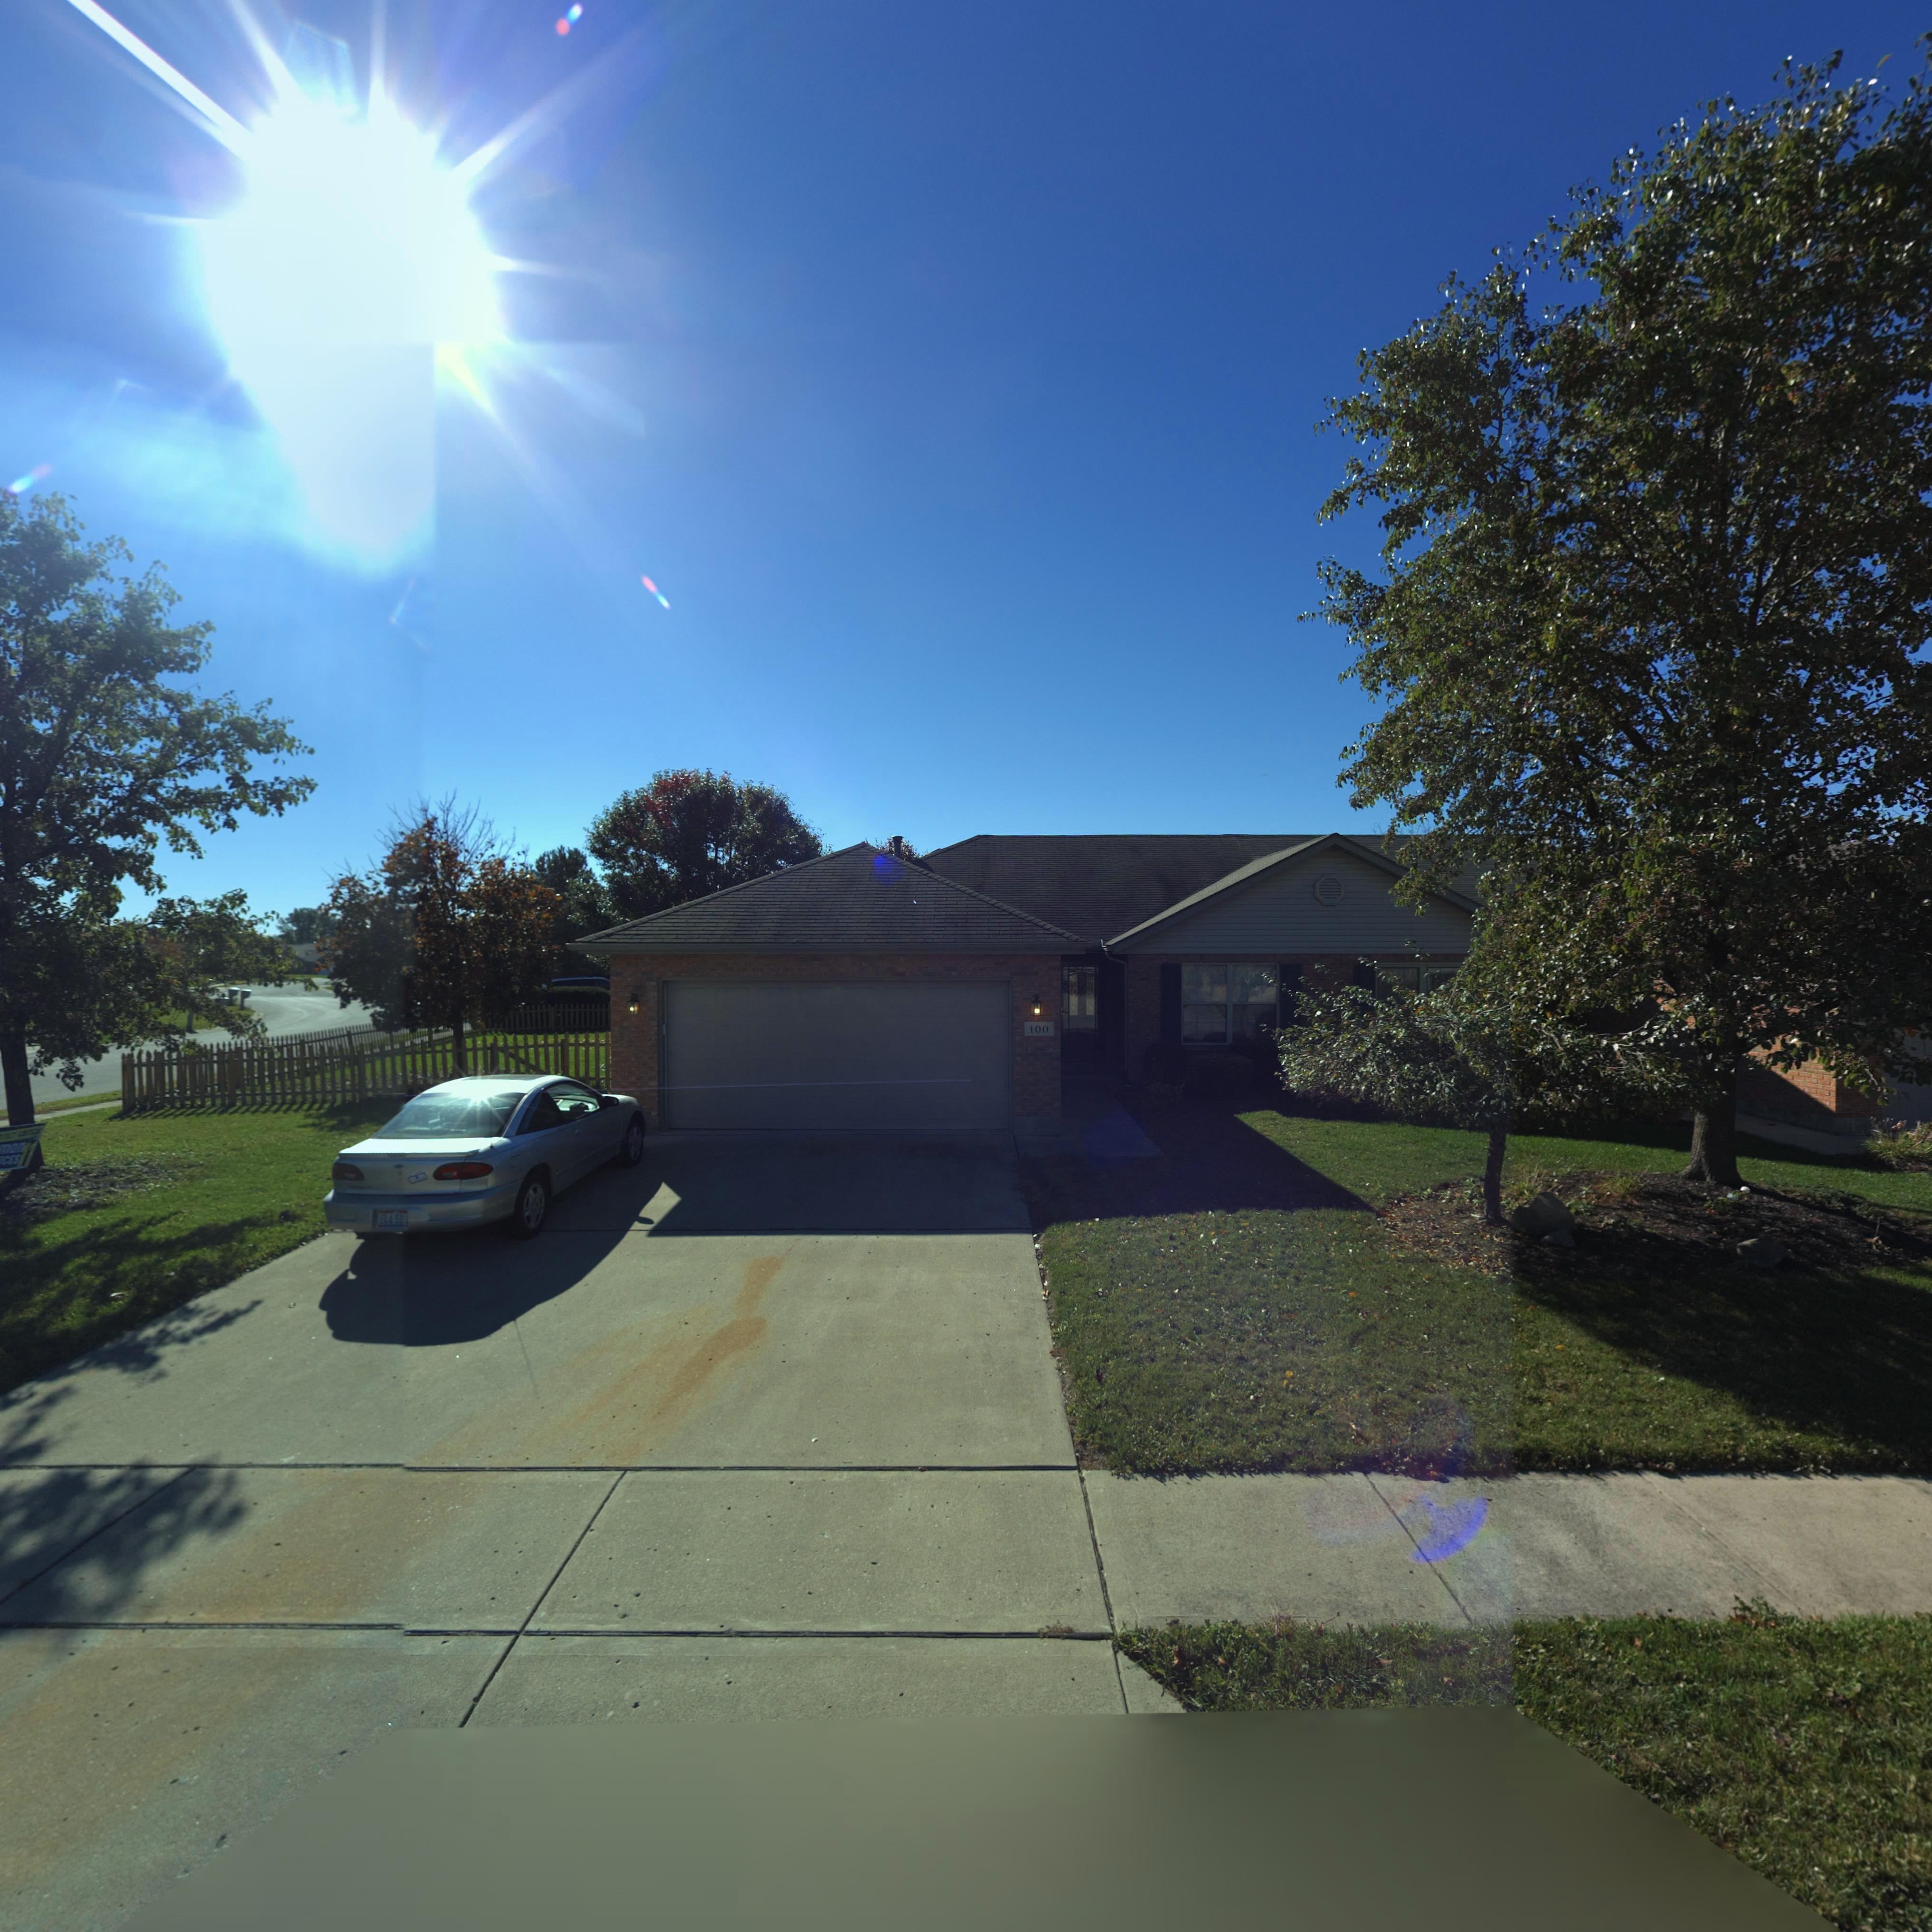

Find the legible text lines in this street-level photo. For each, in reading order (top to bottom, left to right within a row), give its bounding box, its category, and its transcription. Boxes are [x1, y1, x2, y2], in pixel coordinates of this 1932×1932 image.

[1029, 1025, 1049, 1034] StreetNumber: 100